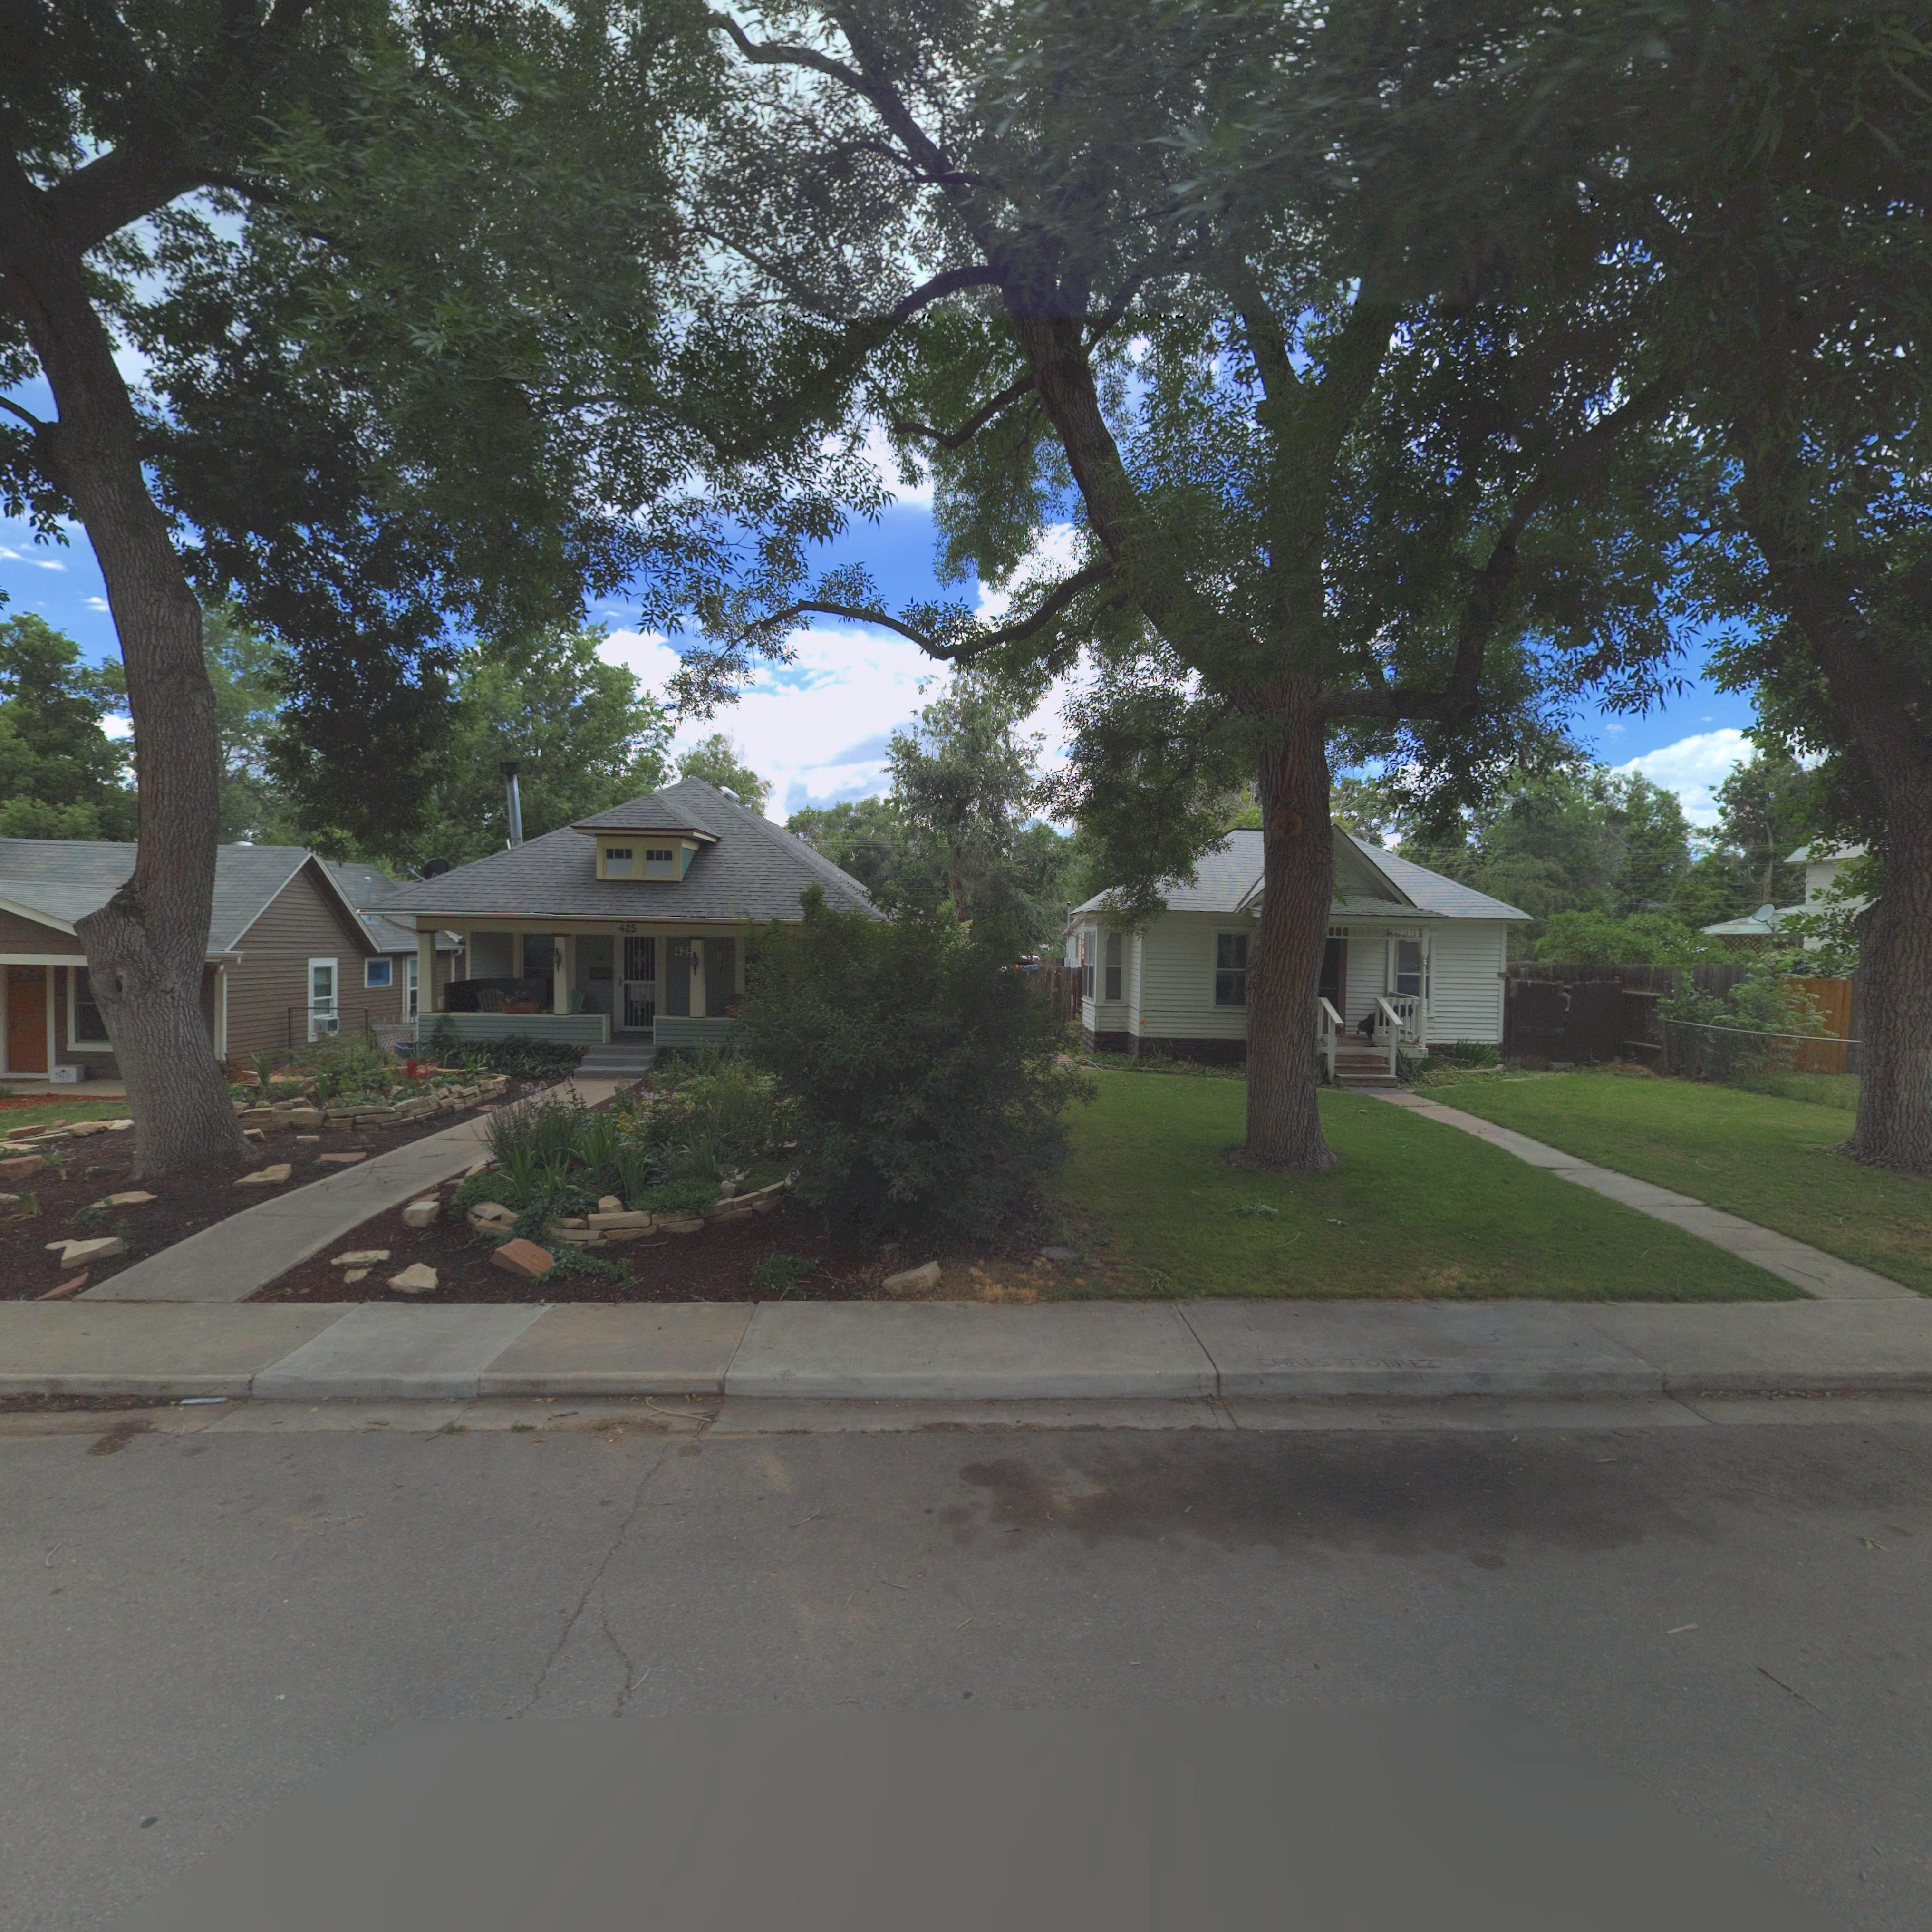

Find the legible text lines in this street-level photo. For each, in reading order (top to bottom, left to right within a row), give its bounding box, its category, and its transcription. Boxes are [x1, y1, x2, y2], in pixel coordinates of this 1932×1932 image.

[618, 923, 637, 933] StreetNumber: 425
[675, 947, 691, 956] StreetNumber: 425